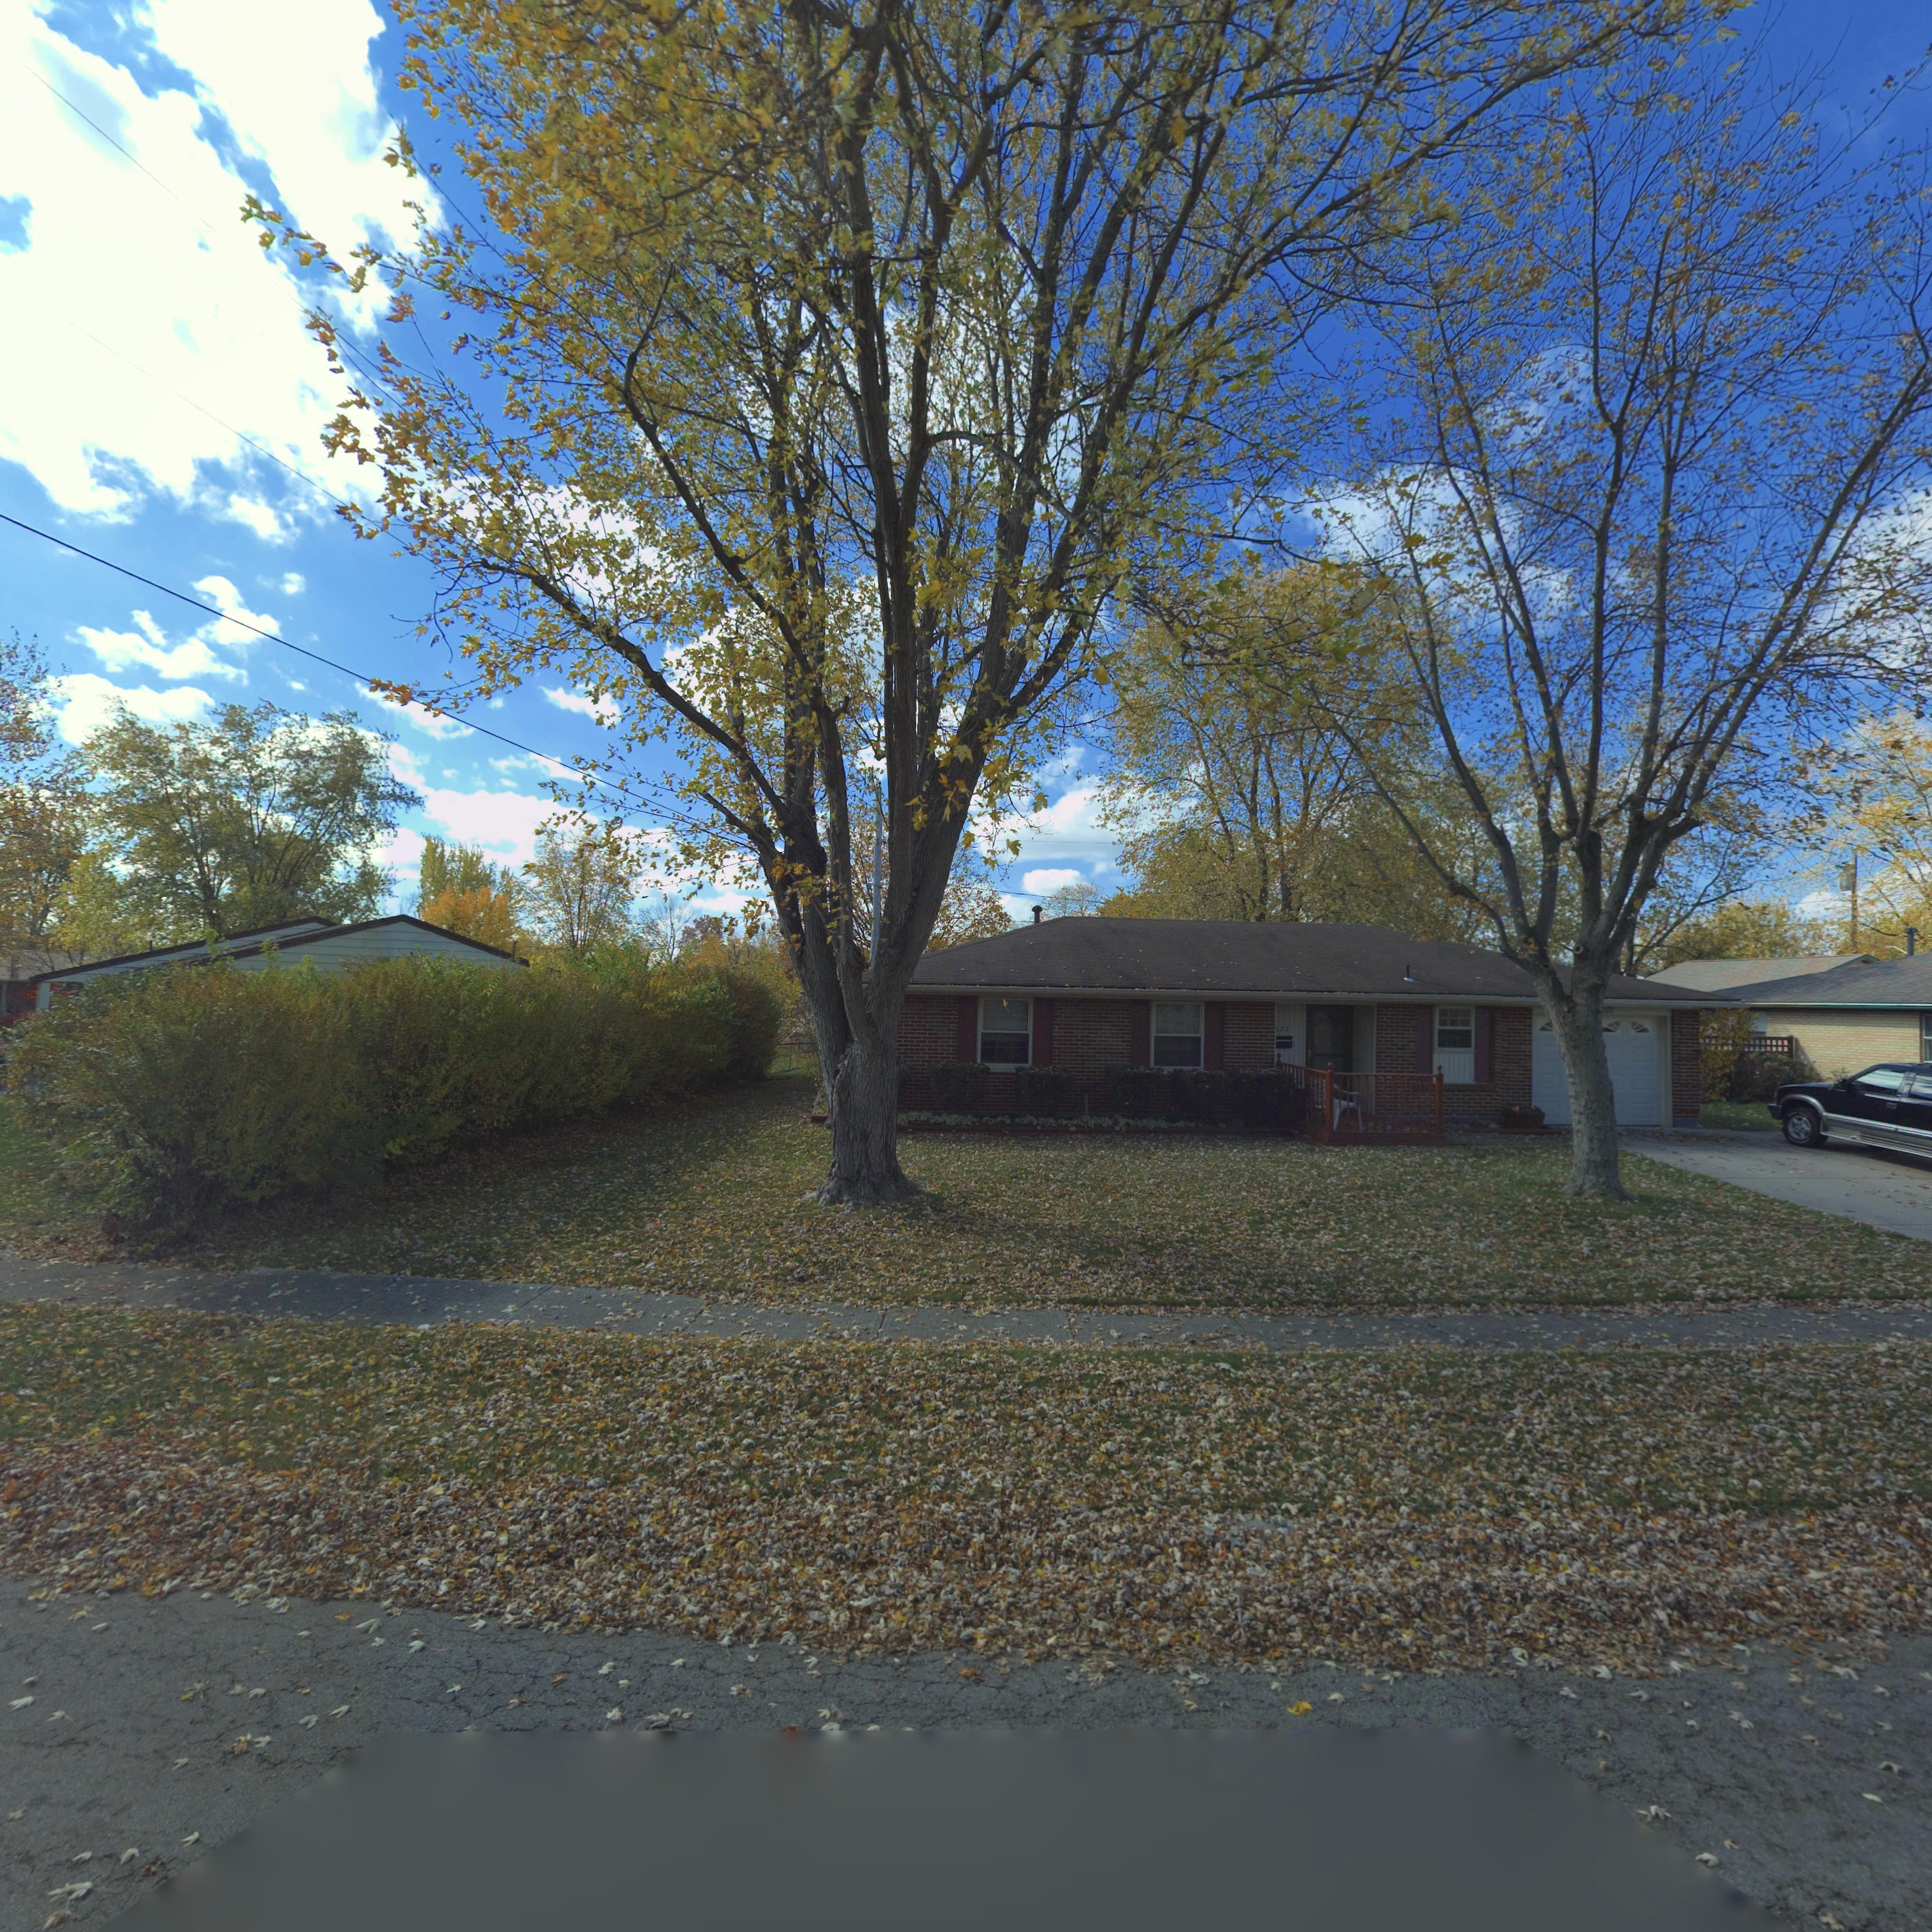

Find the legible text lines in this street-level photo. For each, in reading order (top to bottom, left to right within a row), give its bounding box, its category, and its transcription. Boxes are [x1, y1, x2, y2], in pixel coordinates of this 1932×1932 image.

[1275, 1024, 1290, 1034] StreetNumber: *25